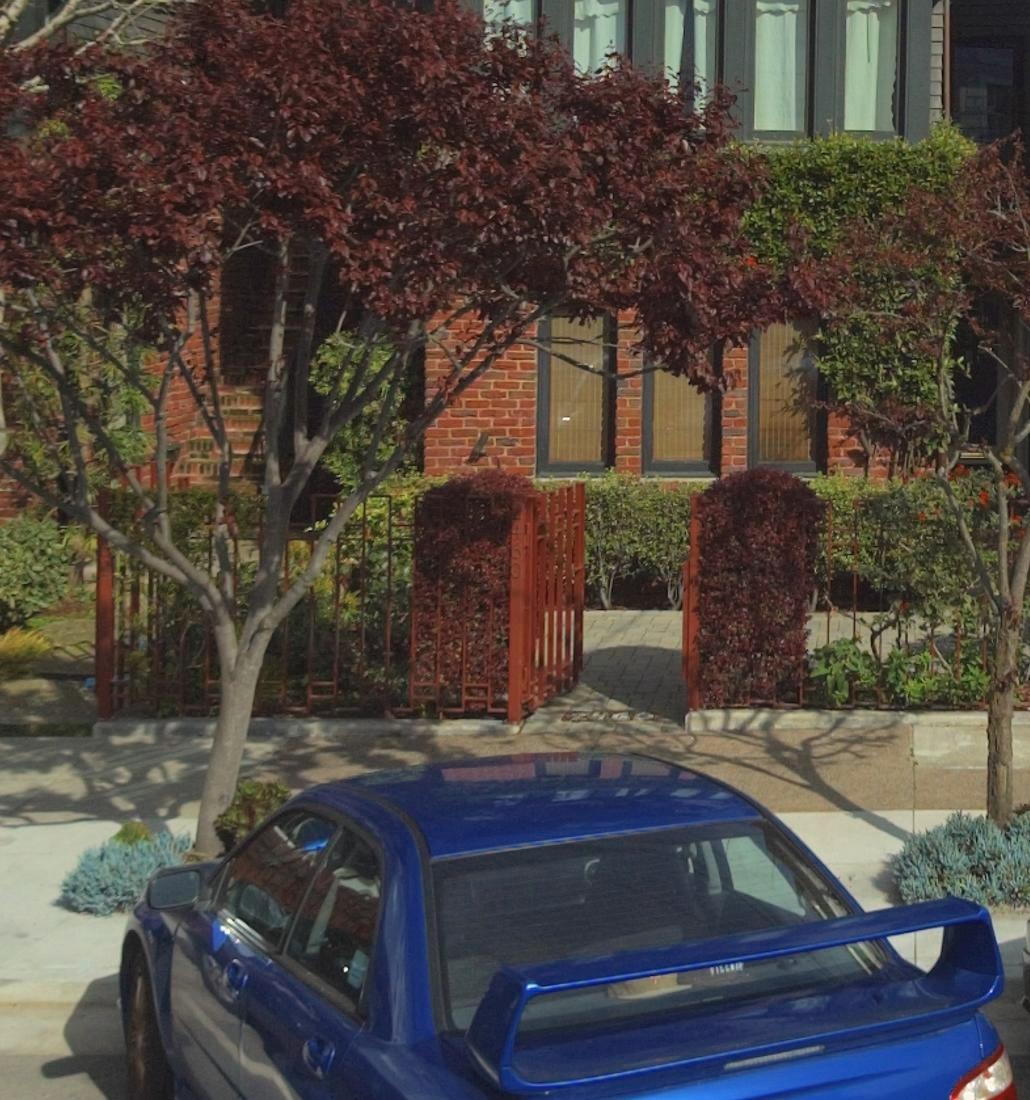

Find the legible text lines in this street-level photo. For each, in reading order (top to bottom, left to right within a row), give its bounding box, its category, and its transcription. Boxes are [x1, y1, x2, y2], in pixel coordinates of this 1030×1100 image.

[508, 521, 523, 580] StreetNumber: 460